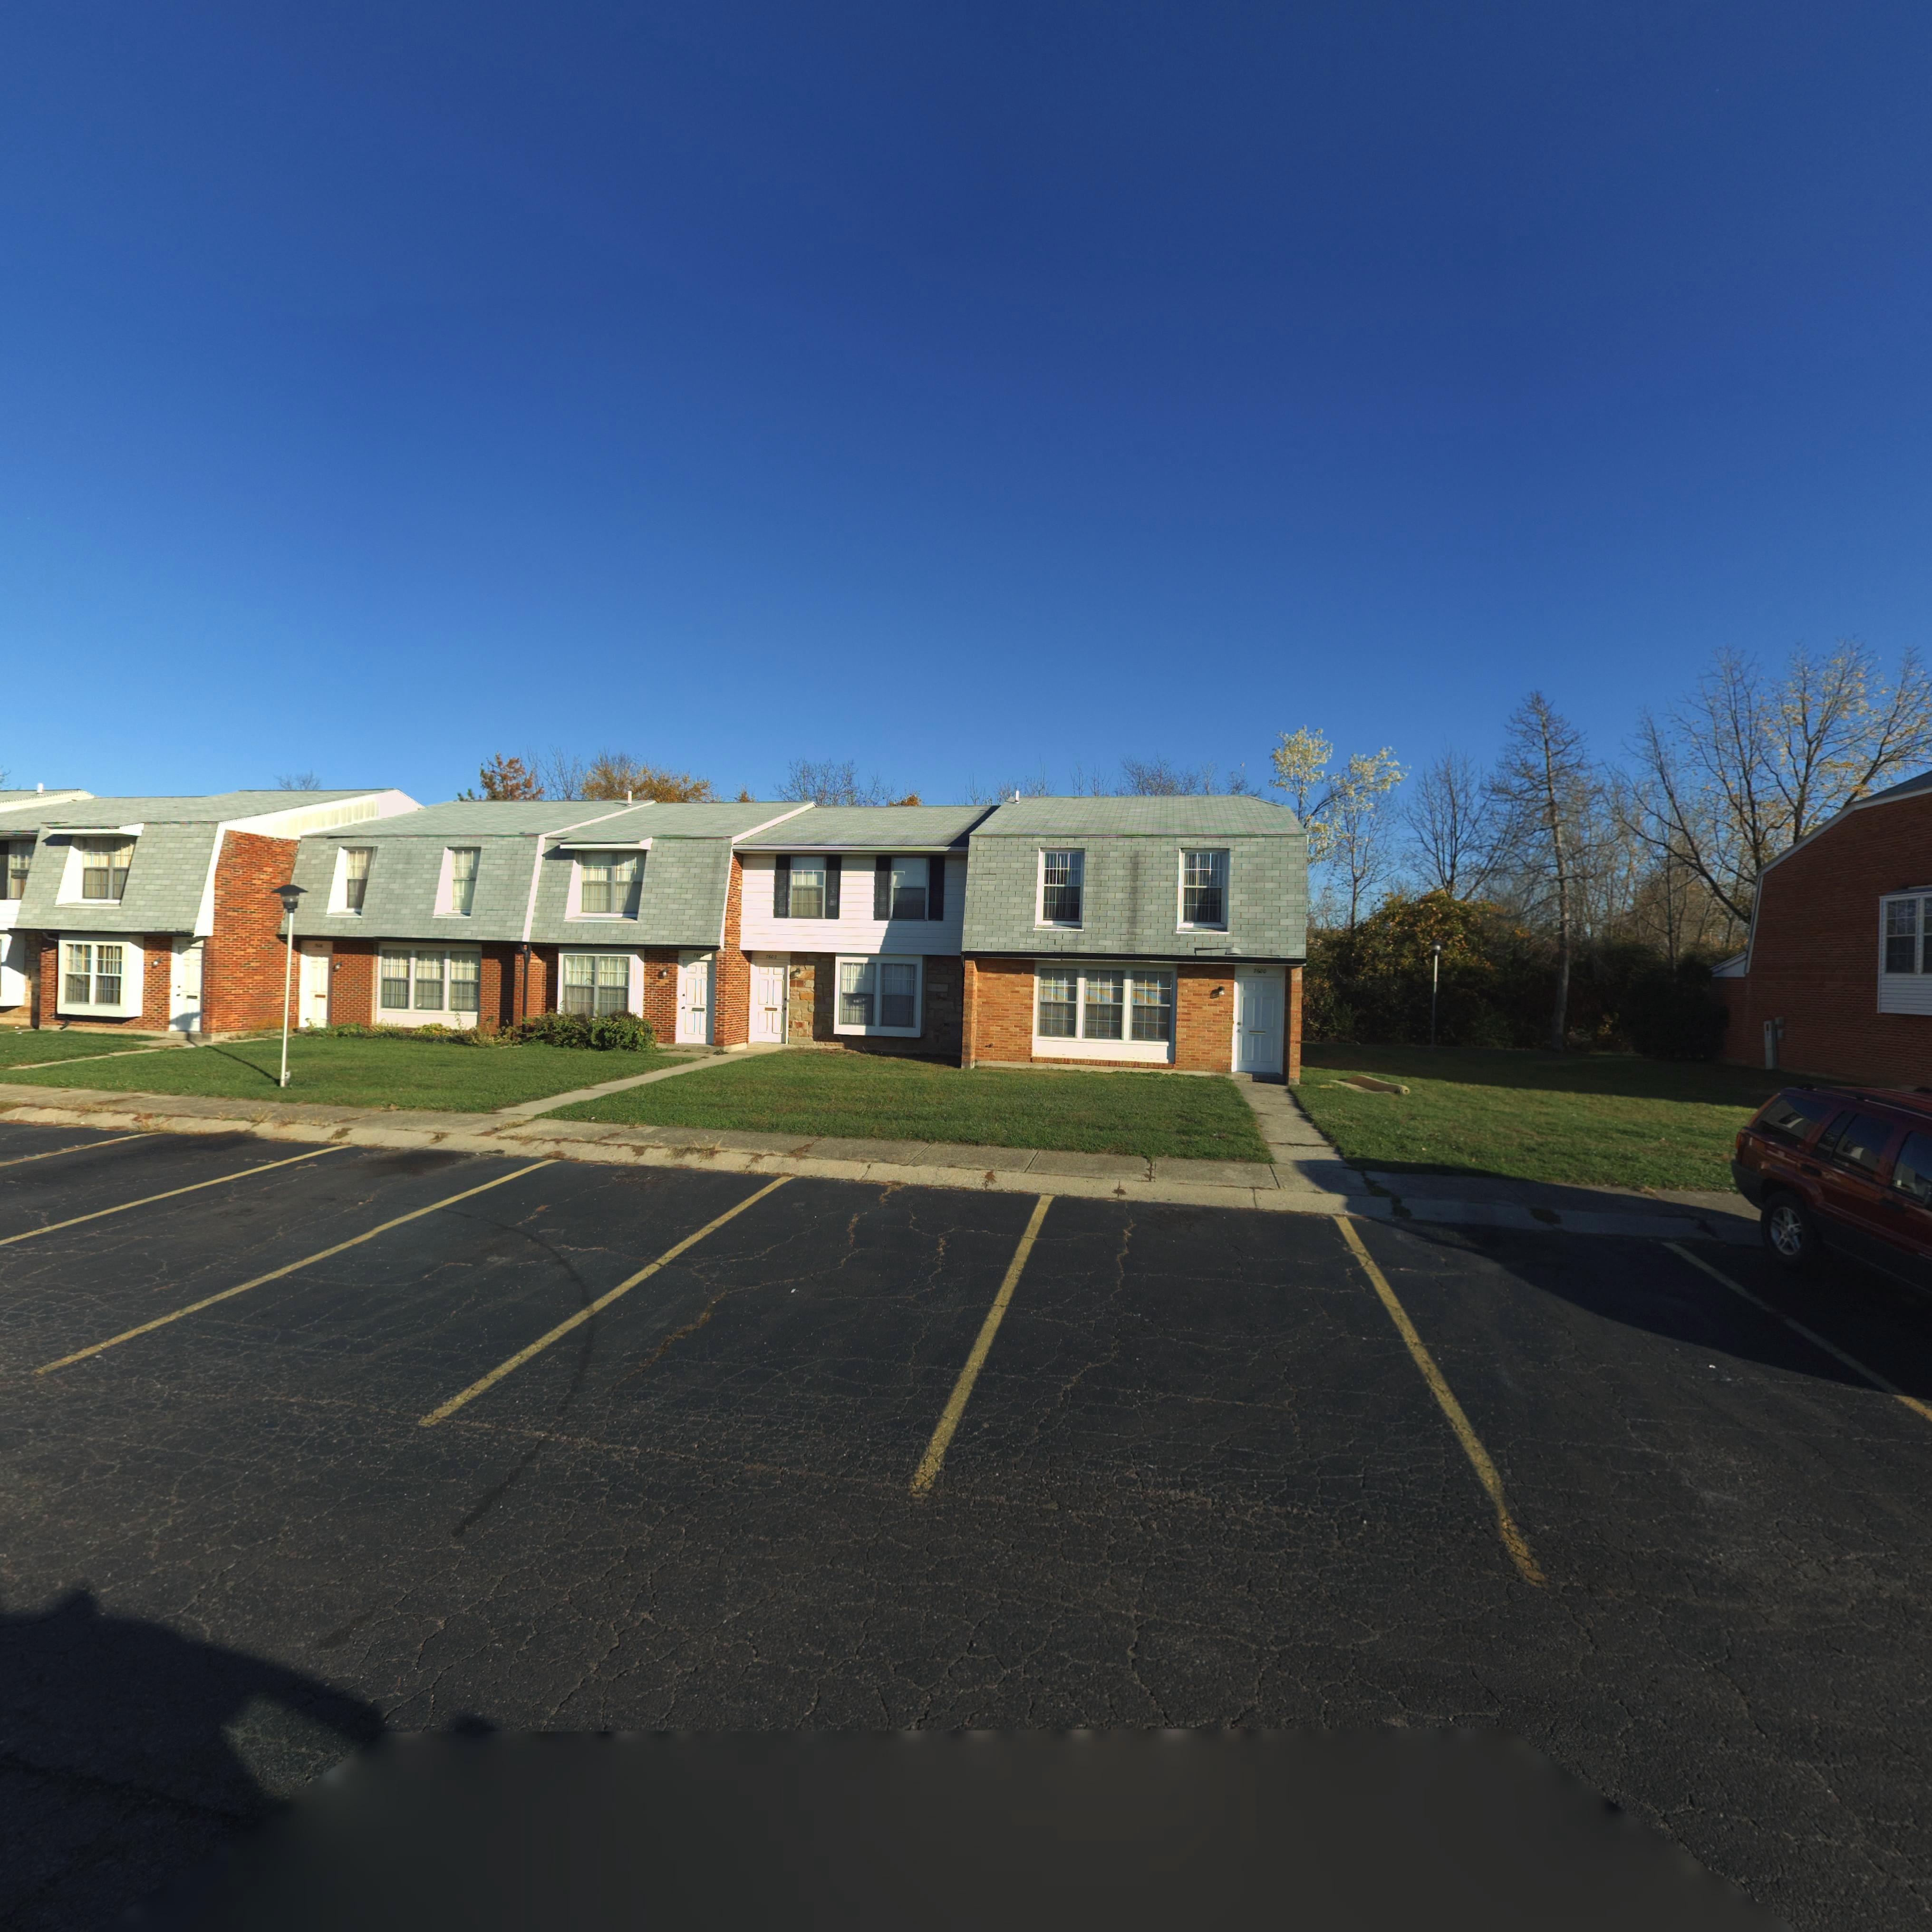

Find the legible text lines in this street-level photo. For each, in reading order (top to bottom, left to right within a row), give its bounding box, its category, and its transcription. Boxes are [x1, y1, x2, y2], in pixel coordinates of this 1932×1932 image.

[692, 952, 706, 959] StreetNumber: 76**
[765, 954, 778, 960] StreetNumber: 7602
[1252, 967, 1268, 975] StreetNumber: 7600